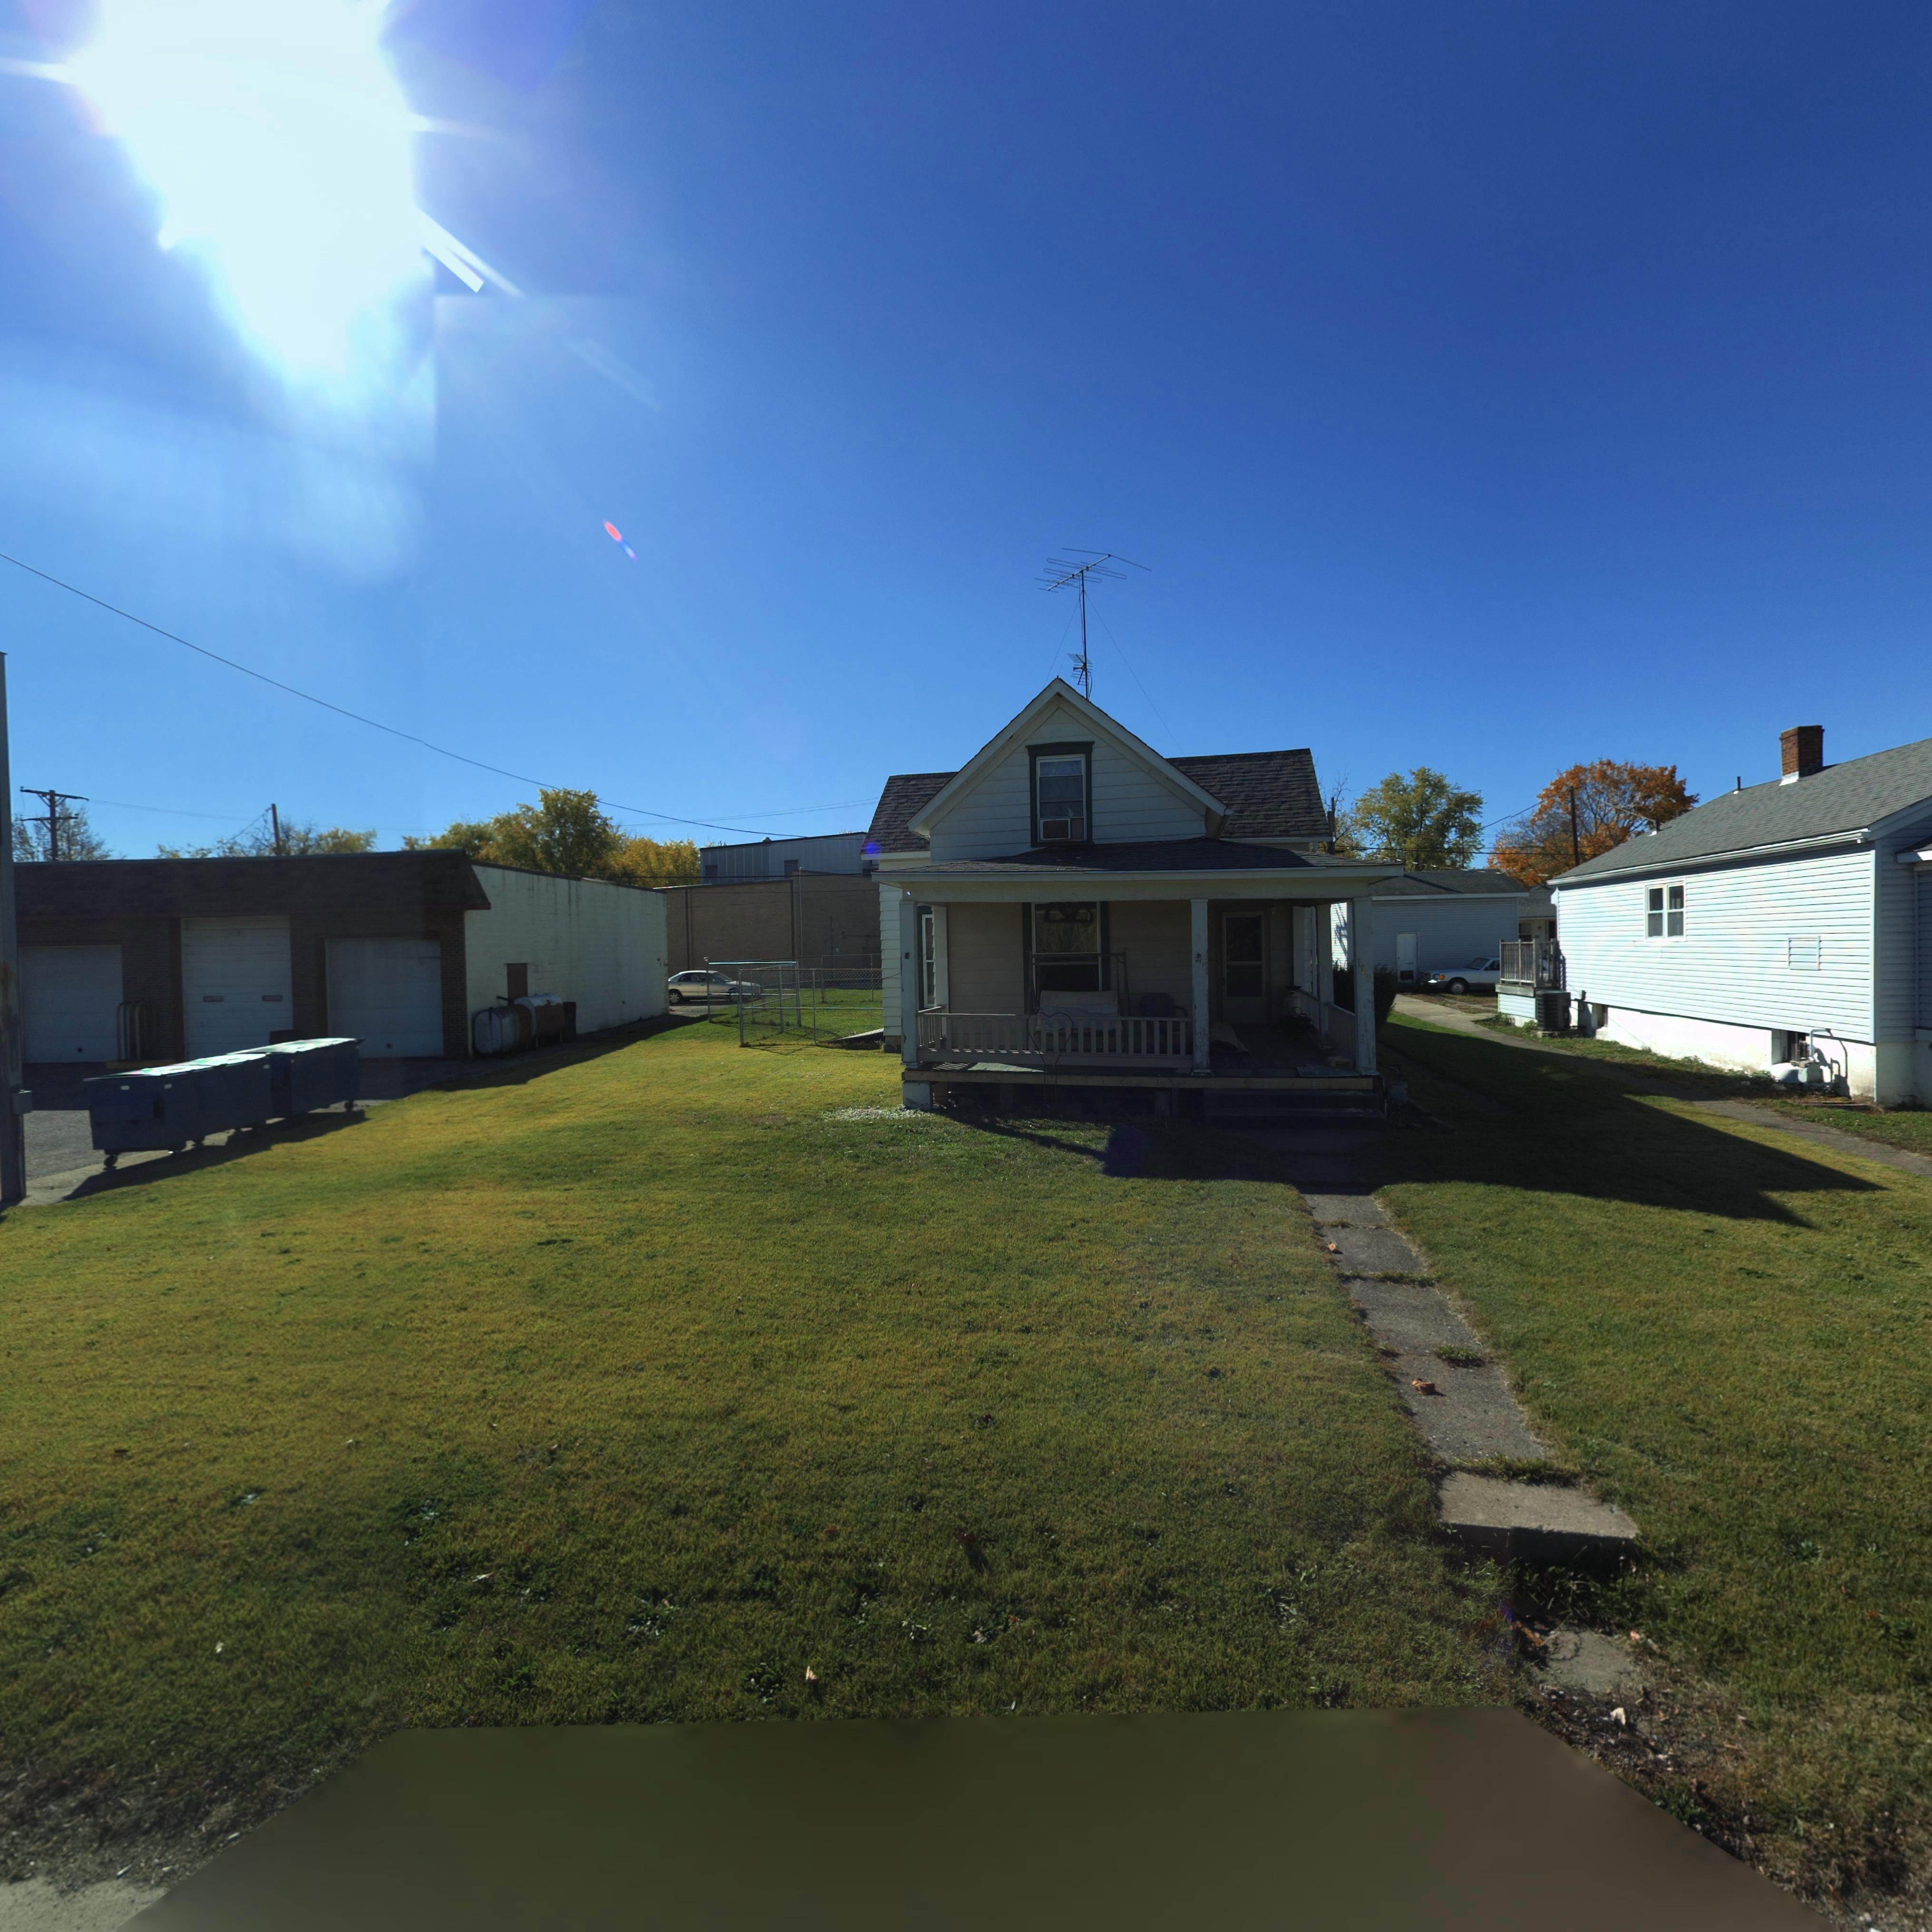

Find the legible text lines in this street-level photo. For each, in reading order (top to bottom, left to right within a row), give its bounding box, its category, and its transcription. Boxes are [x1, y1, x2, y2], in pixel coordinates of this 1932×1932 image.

[1355, 956, 1374, 984] StreetNumber: 109